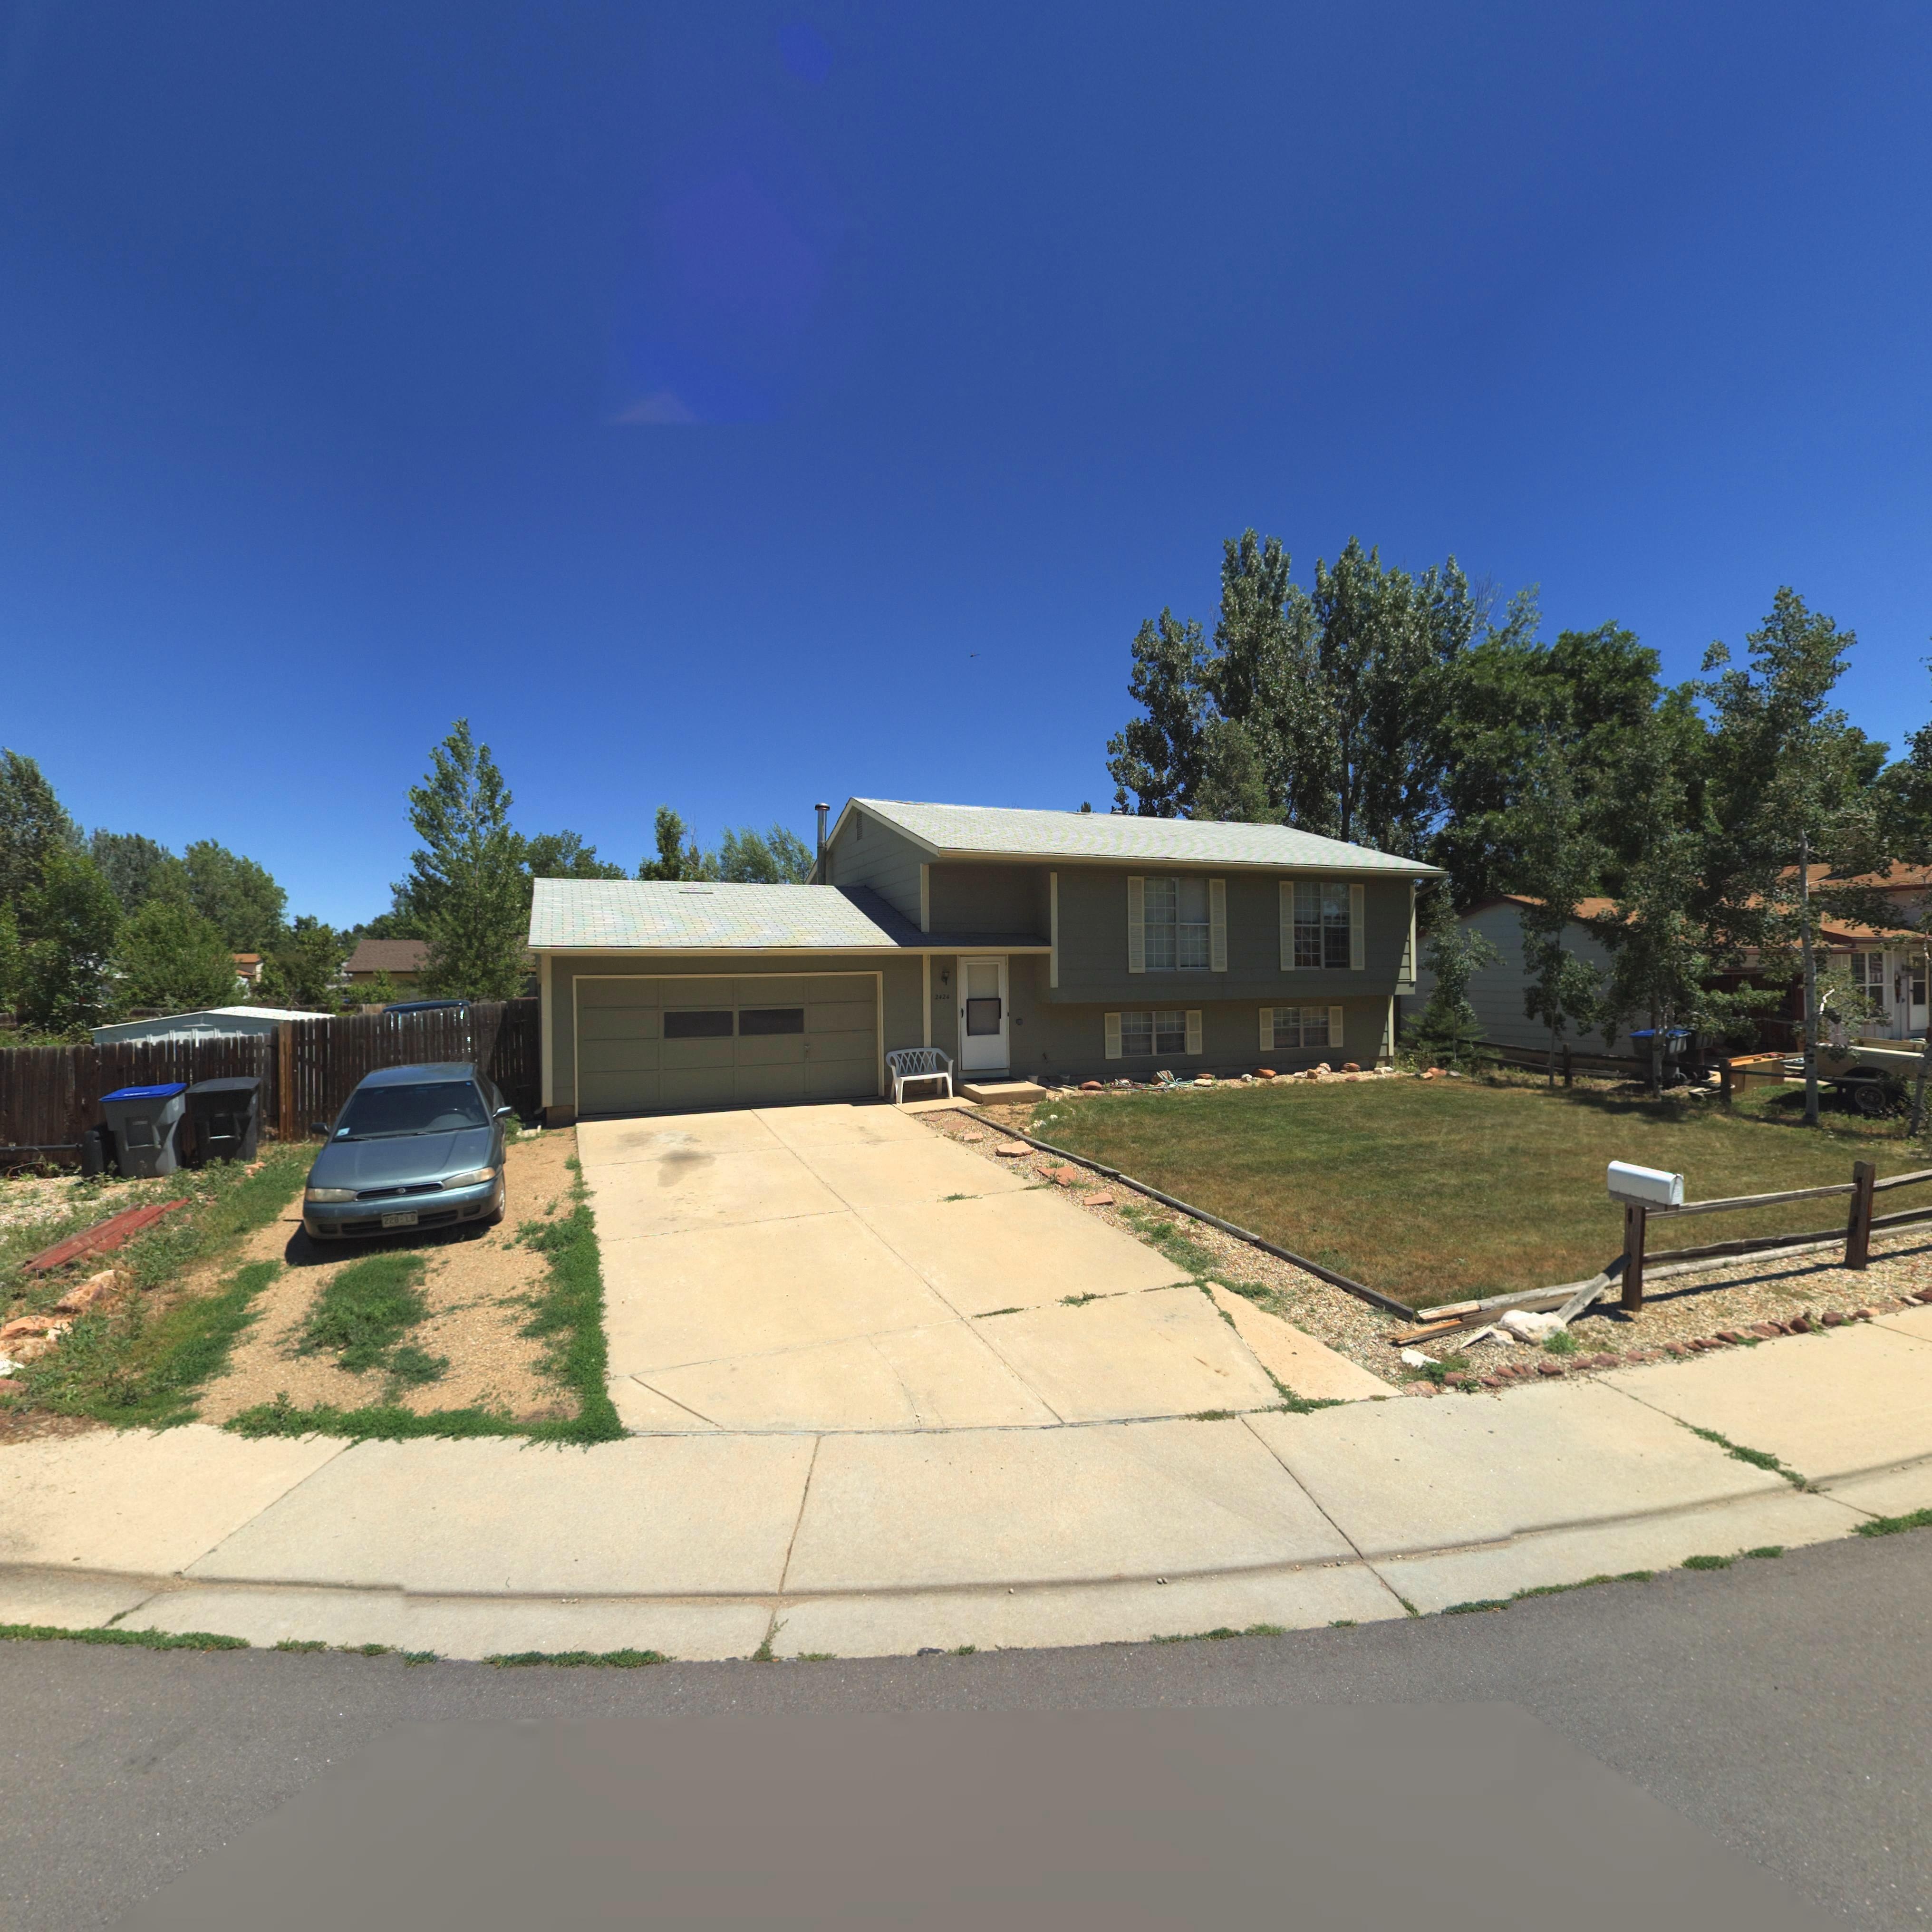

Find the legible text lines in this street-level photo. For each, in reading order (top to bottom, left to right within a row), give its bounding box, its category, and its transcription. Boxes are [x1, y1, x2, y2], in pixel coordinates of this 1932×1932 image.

[935, 994, 950, 1000] StreetNumber: 2424